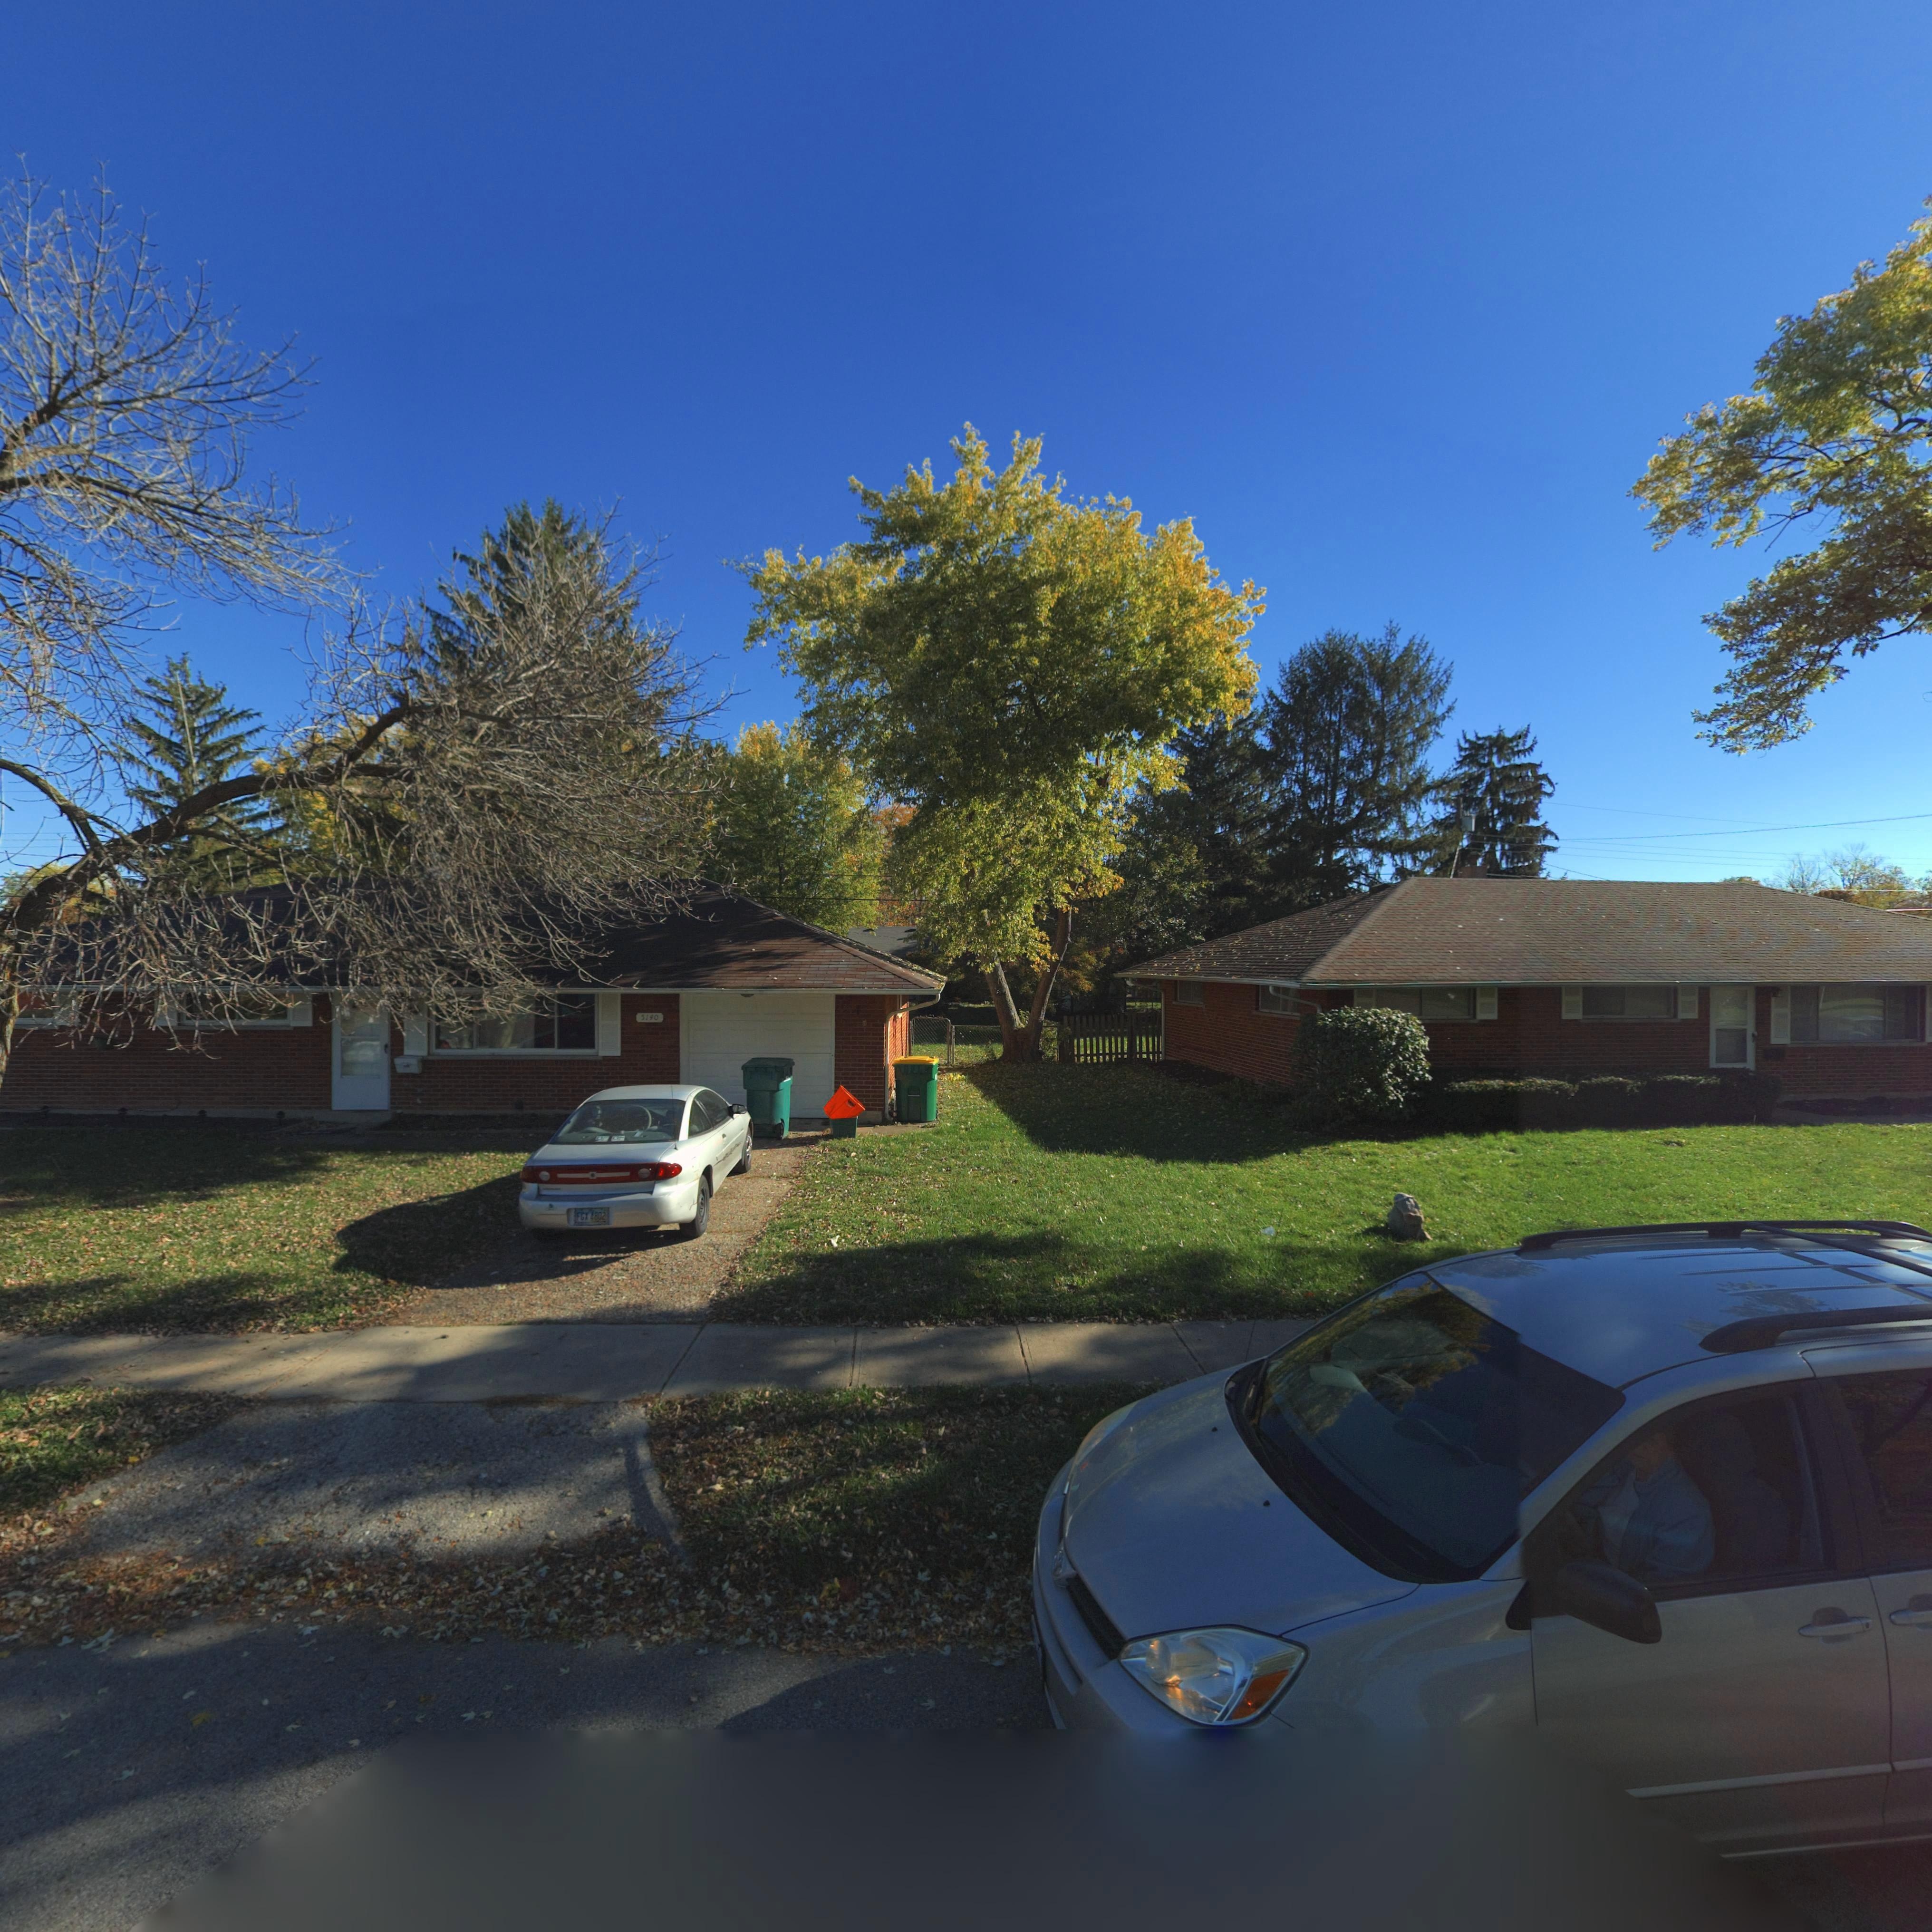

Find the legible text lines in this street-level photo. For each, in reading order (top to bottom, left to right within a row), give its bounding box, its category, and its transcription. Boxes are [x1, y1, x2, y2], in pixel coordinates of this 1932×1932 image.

[639, 1014, 659, 1021] StreetNumber: 5140